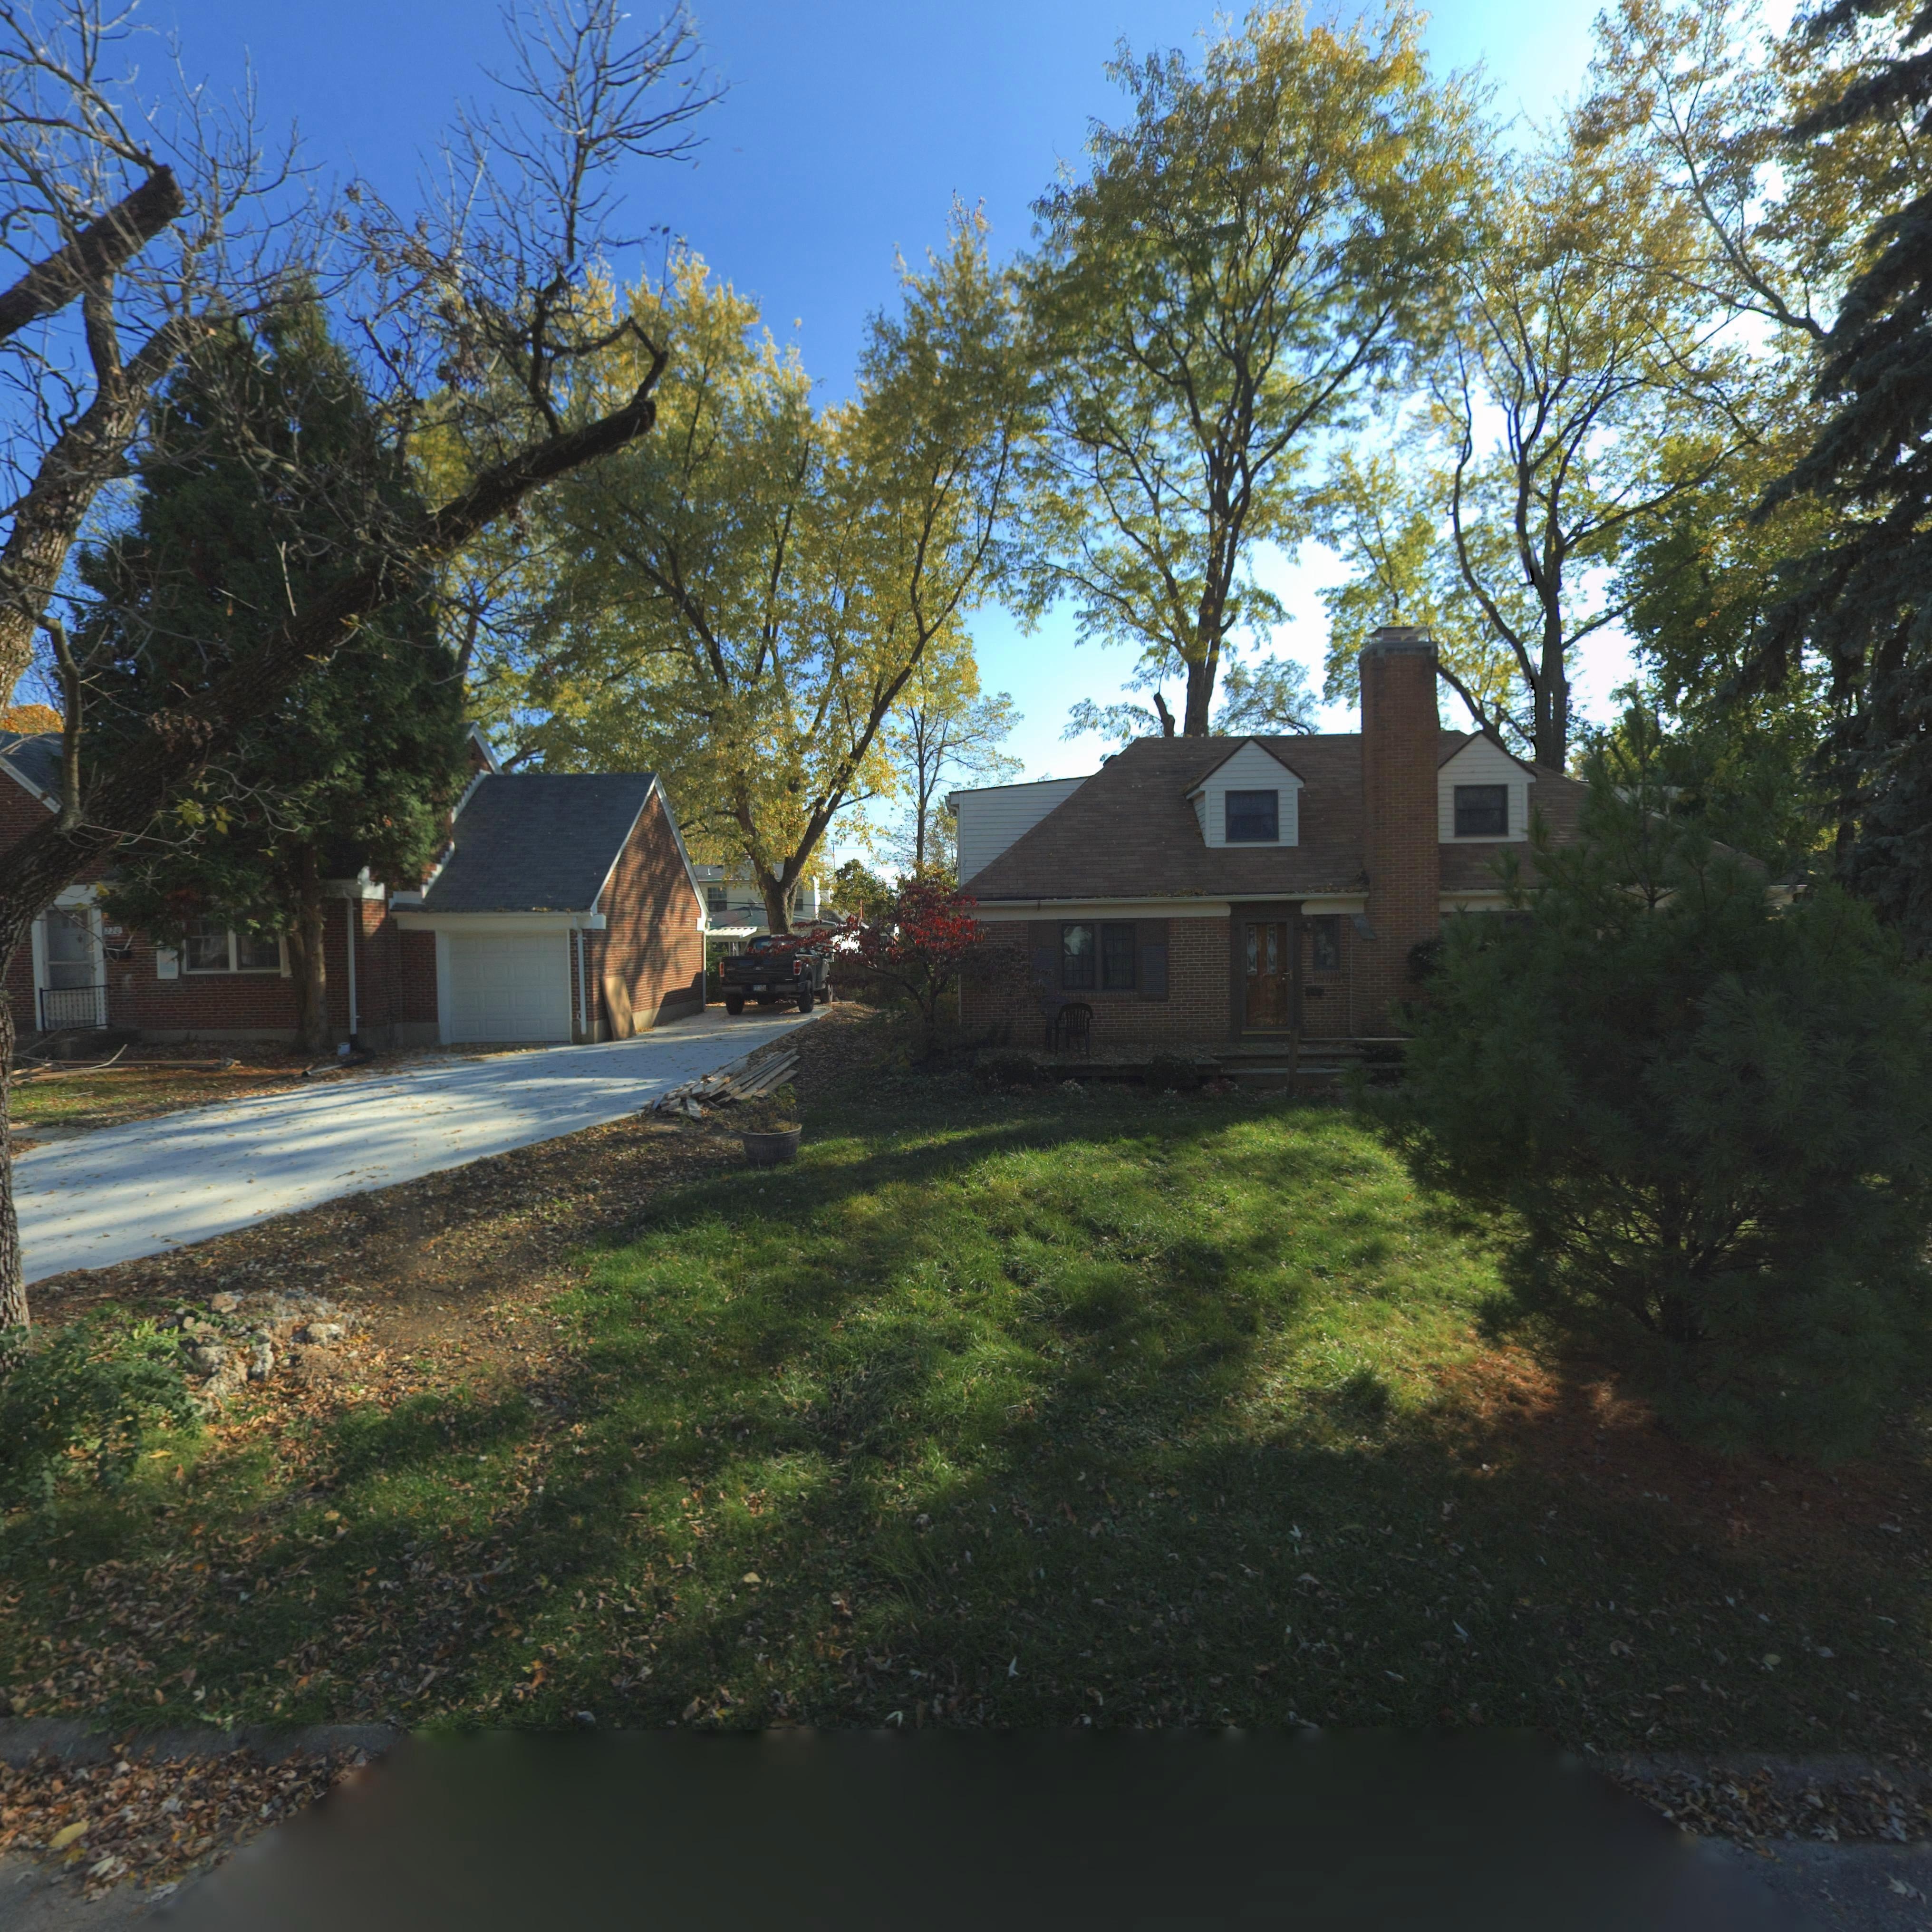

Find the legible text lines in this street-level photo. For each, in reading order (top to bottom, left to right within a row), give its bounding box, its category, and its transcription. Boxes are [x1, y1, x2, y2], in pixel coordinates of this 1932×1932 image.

[104, 926, 121, 935] StreetNumber: 220